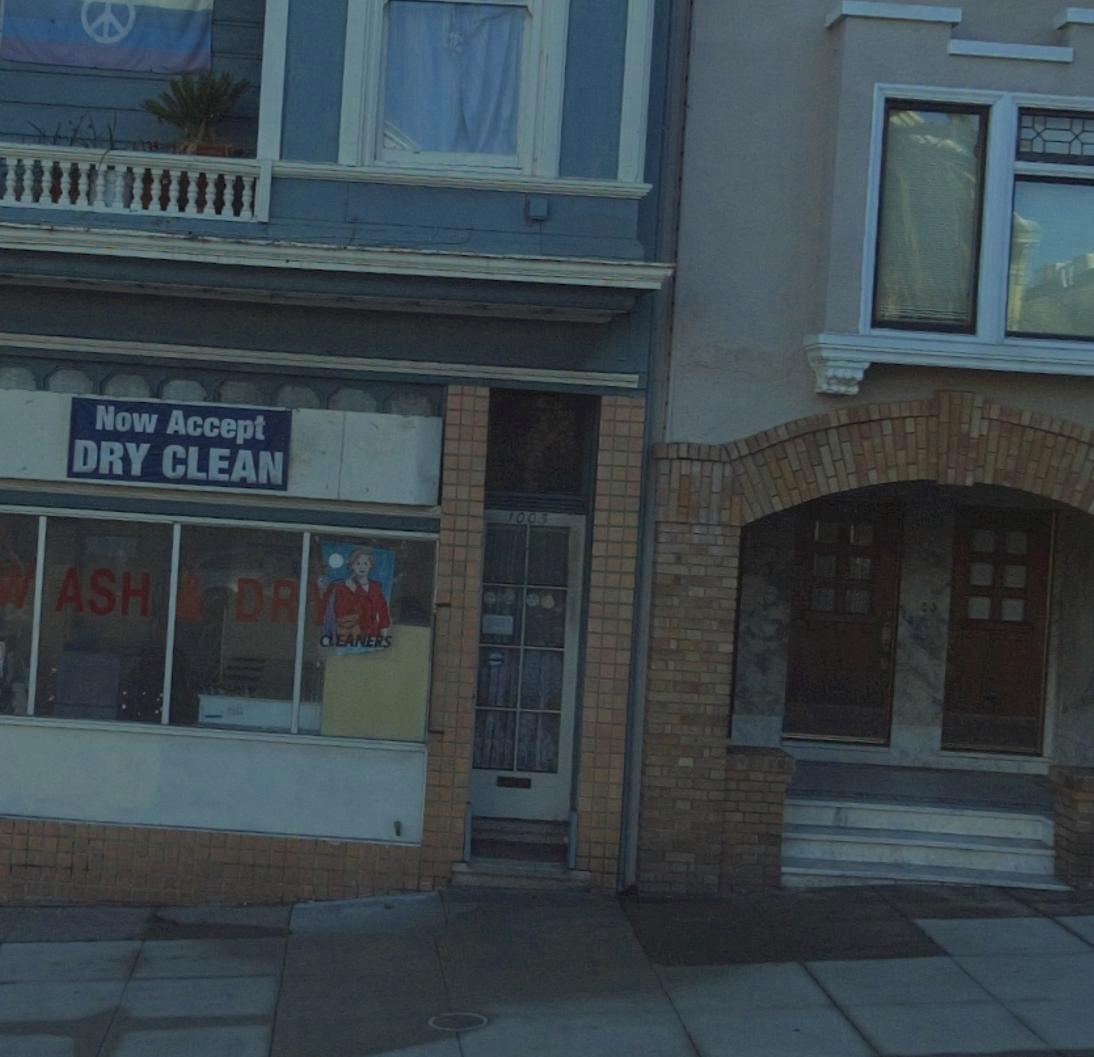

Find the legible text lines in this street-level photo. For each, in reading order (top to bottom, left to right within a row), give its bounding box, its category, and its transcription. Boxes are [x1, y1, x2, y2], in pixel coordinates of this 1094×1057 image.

[92, 402, 275, 448] None: Now Accept
[69, 436, 285, 487] None: DRY CLEAN
[506, 510, 552, 526] StreetNumber: 1005
[52, 565, 154, 619] None: ASH
[231, 571, 339, 628] None: DR*Y
[318, 632, 395, 650] None: CLEANERS